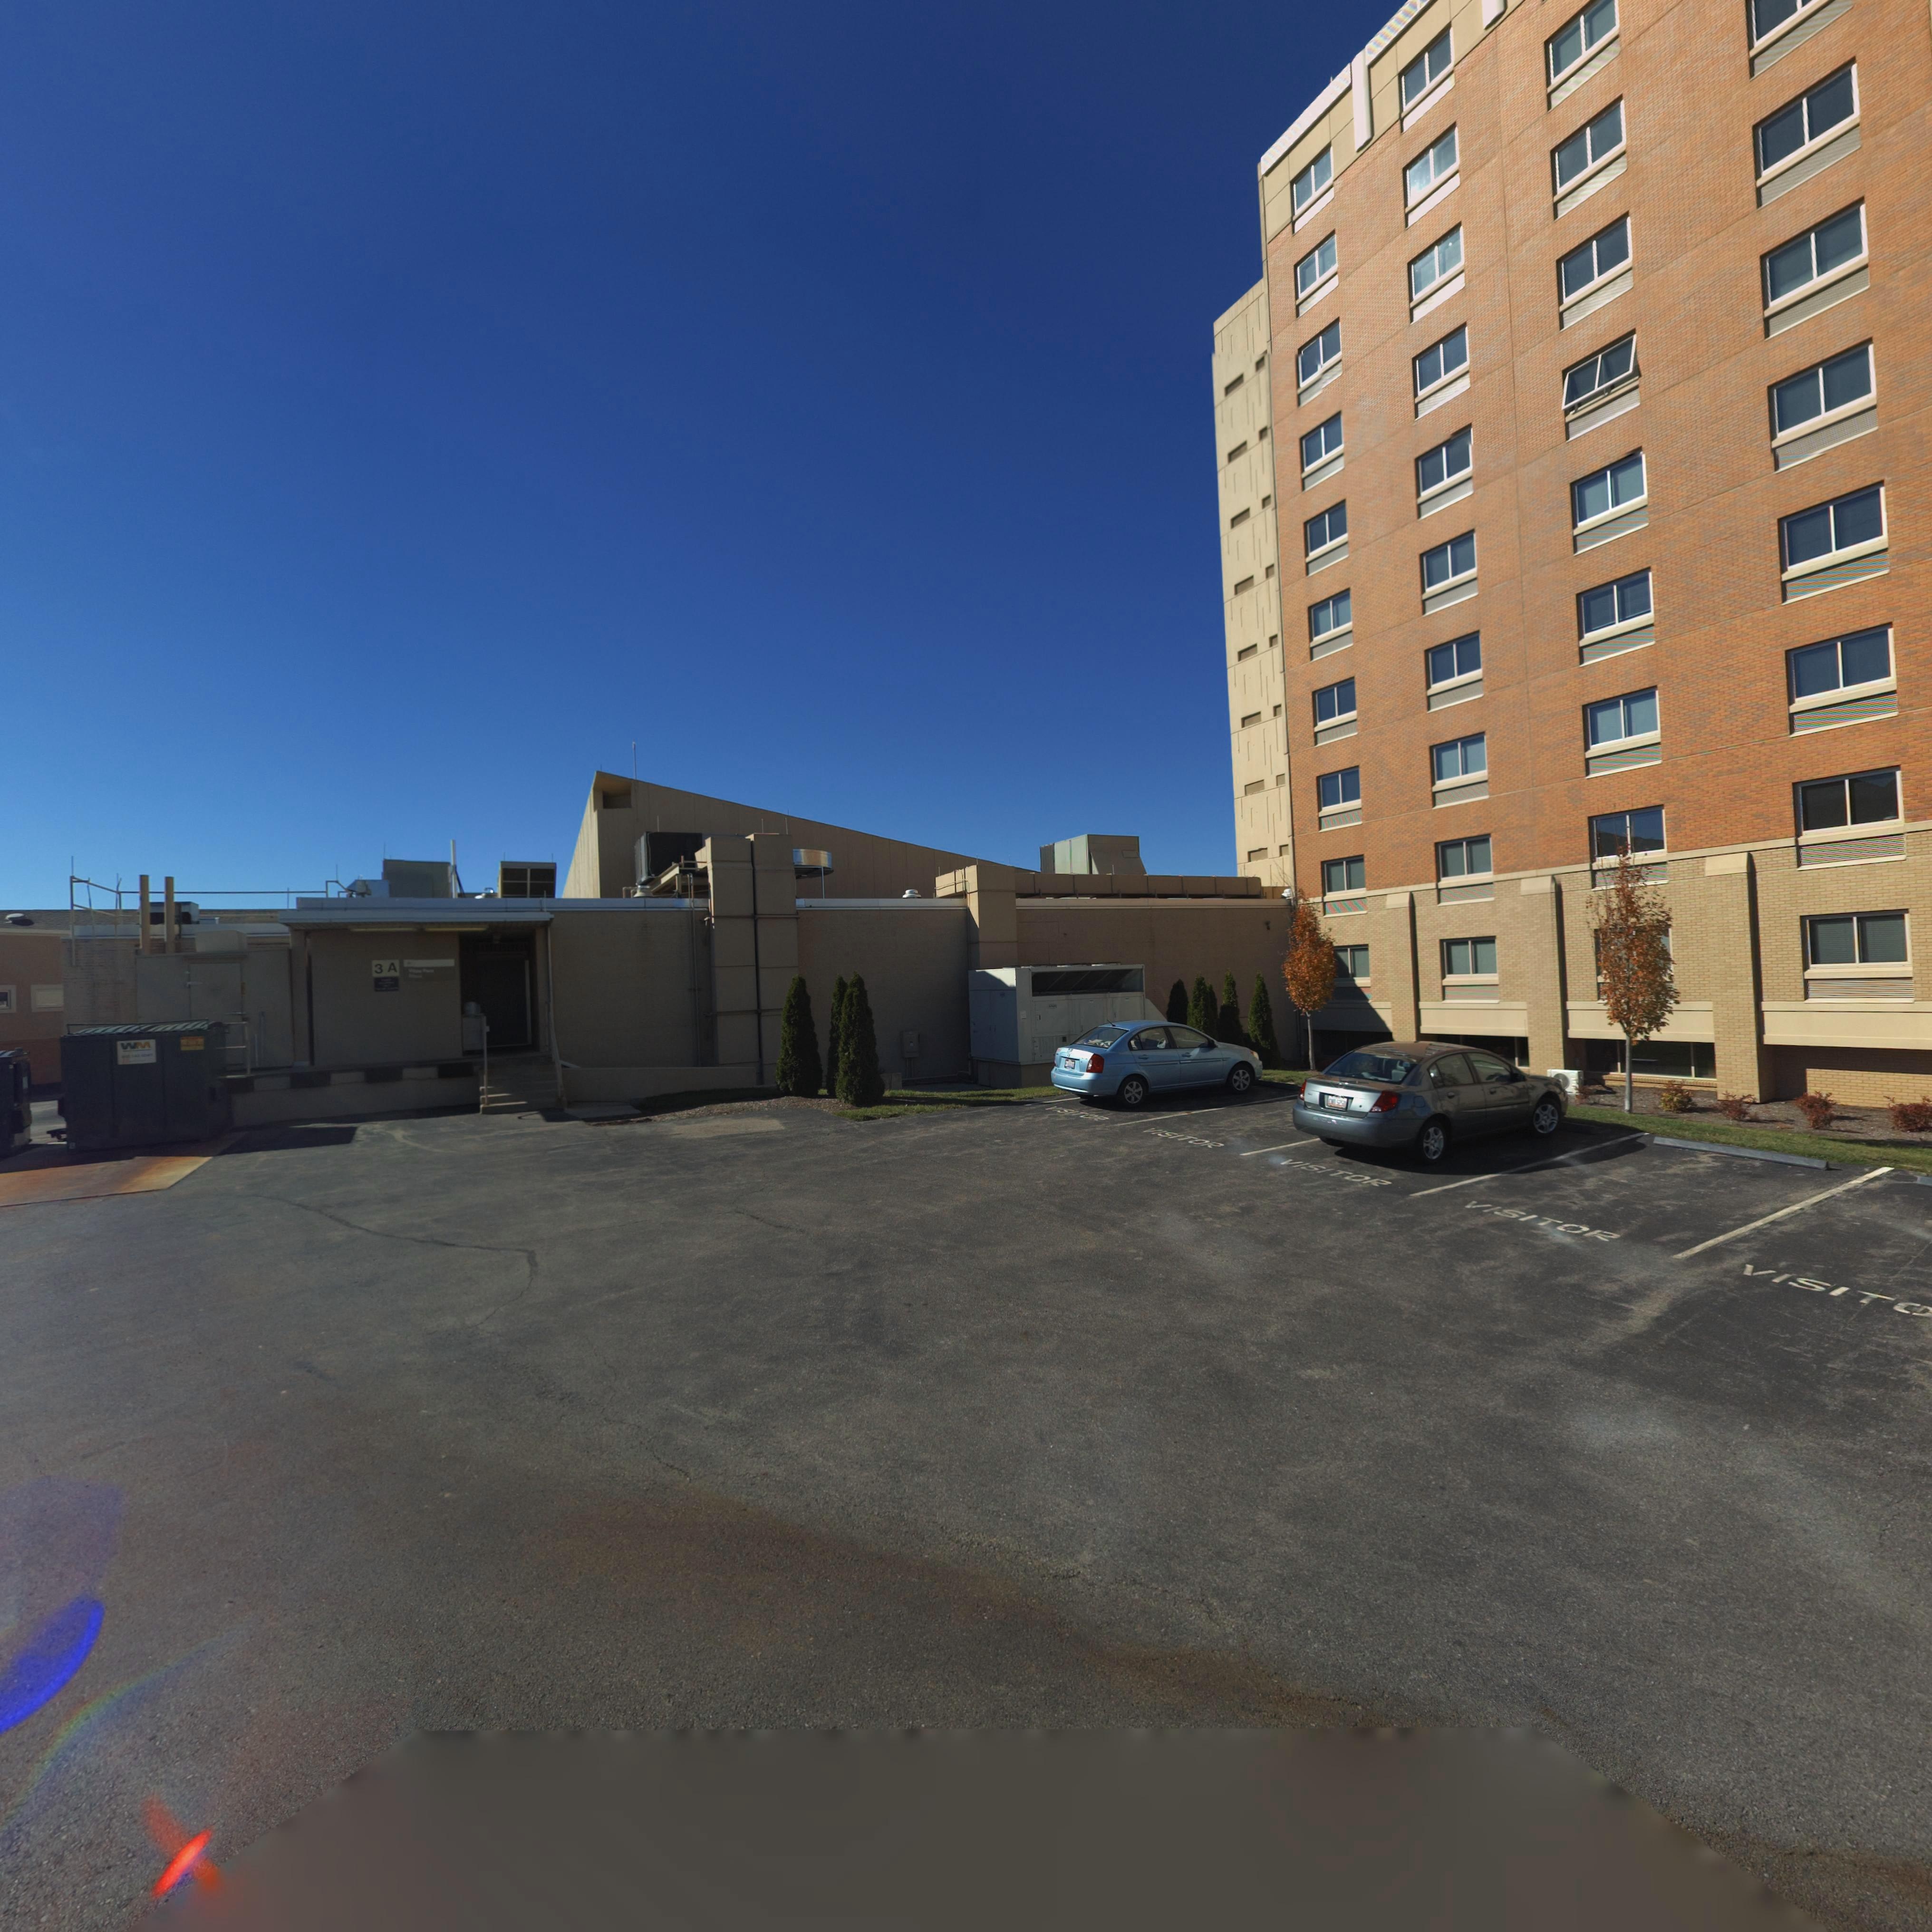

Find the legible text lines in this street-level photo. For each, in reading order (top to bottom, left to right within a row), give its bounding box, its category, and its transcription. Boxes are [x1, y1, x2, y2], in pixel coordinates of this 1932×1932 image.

[373, 960, 398, 975] StreetNumber: 3 A
[120, 1041, 153, 1050] None: WM
[1041, 1104, 1111, 1122] None: VISITOR
[1139, 1126, 1226, 1150] None: VISITOR
[1276, 1158, 1394, 1188] None: VISITOR
[1461, 1199, 1623, 1243] None: VISITOR
[1741, 1262, 1899, 1305] None: VISIT